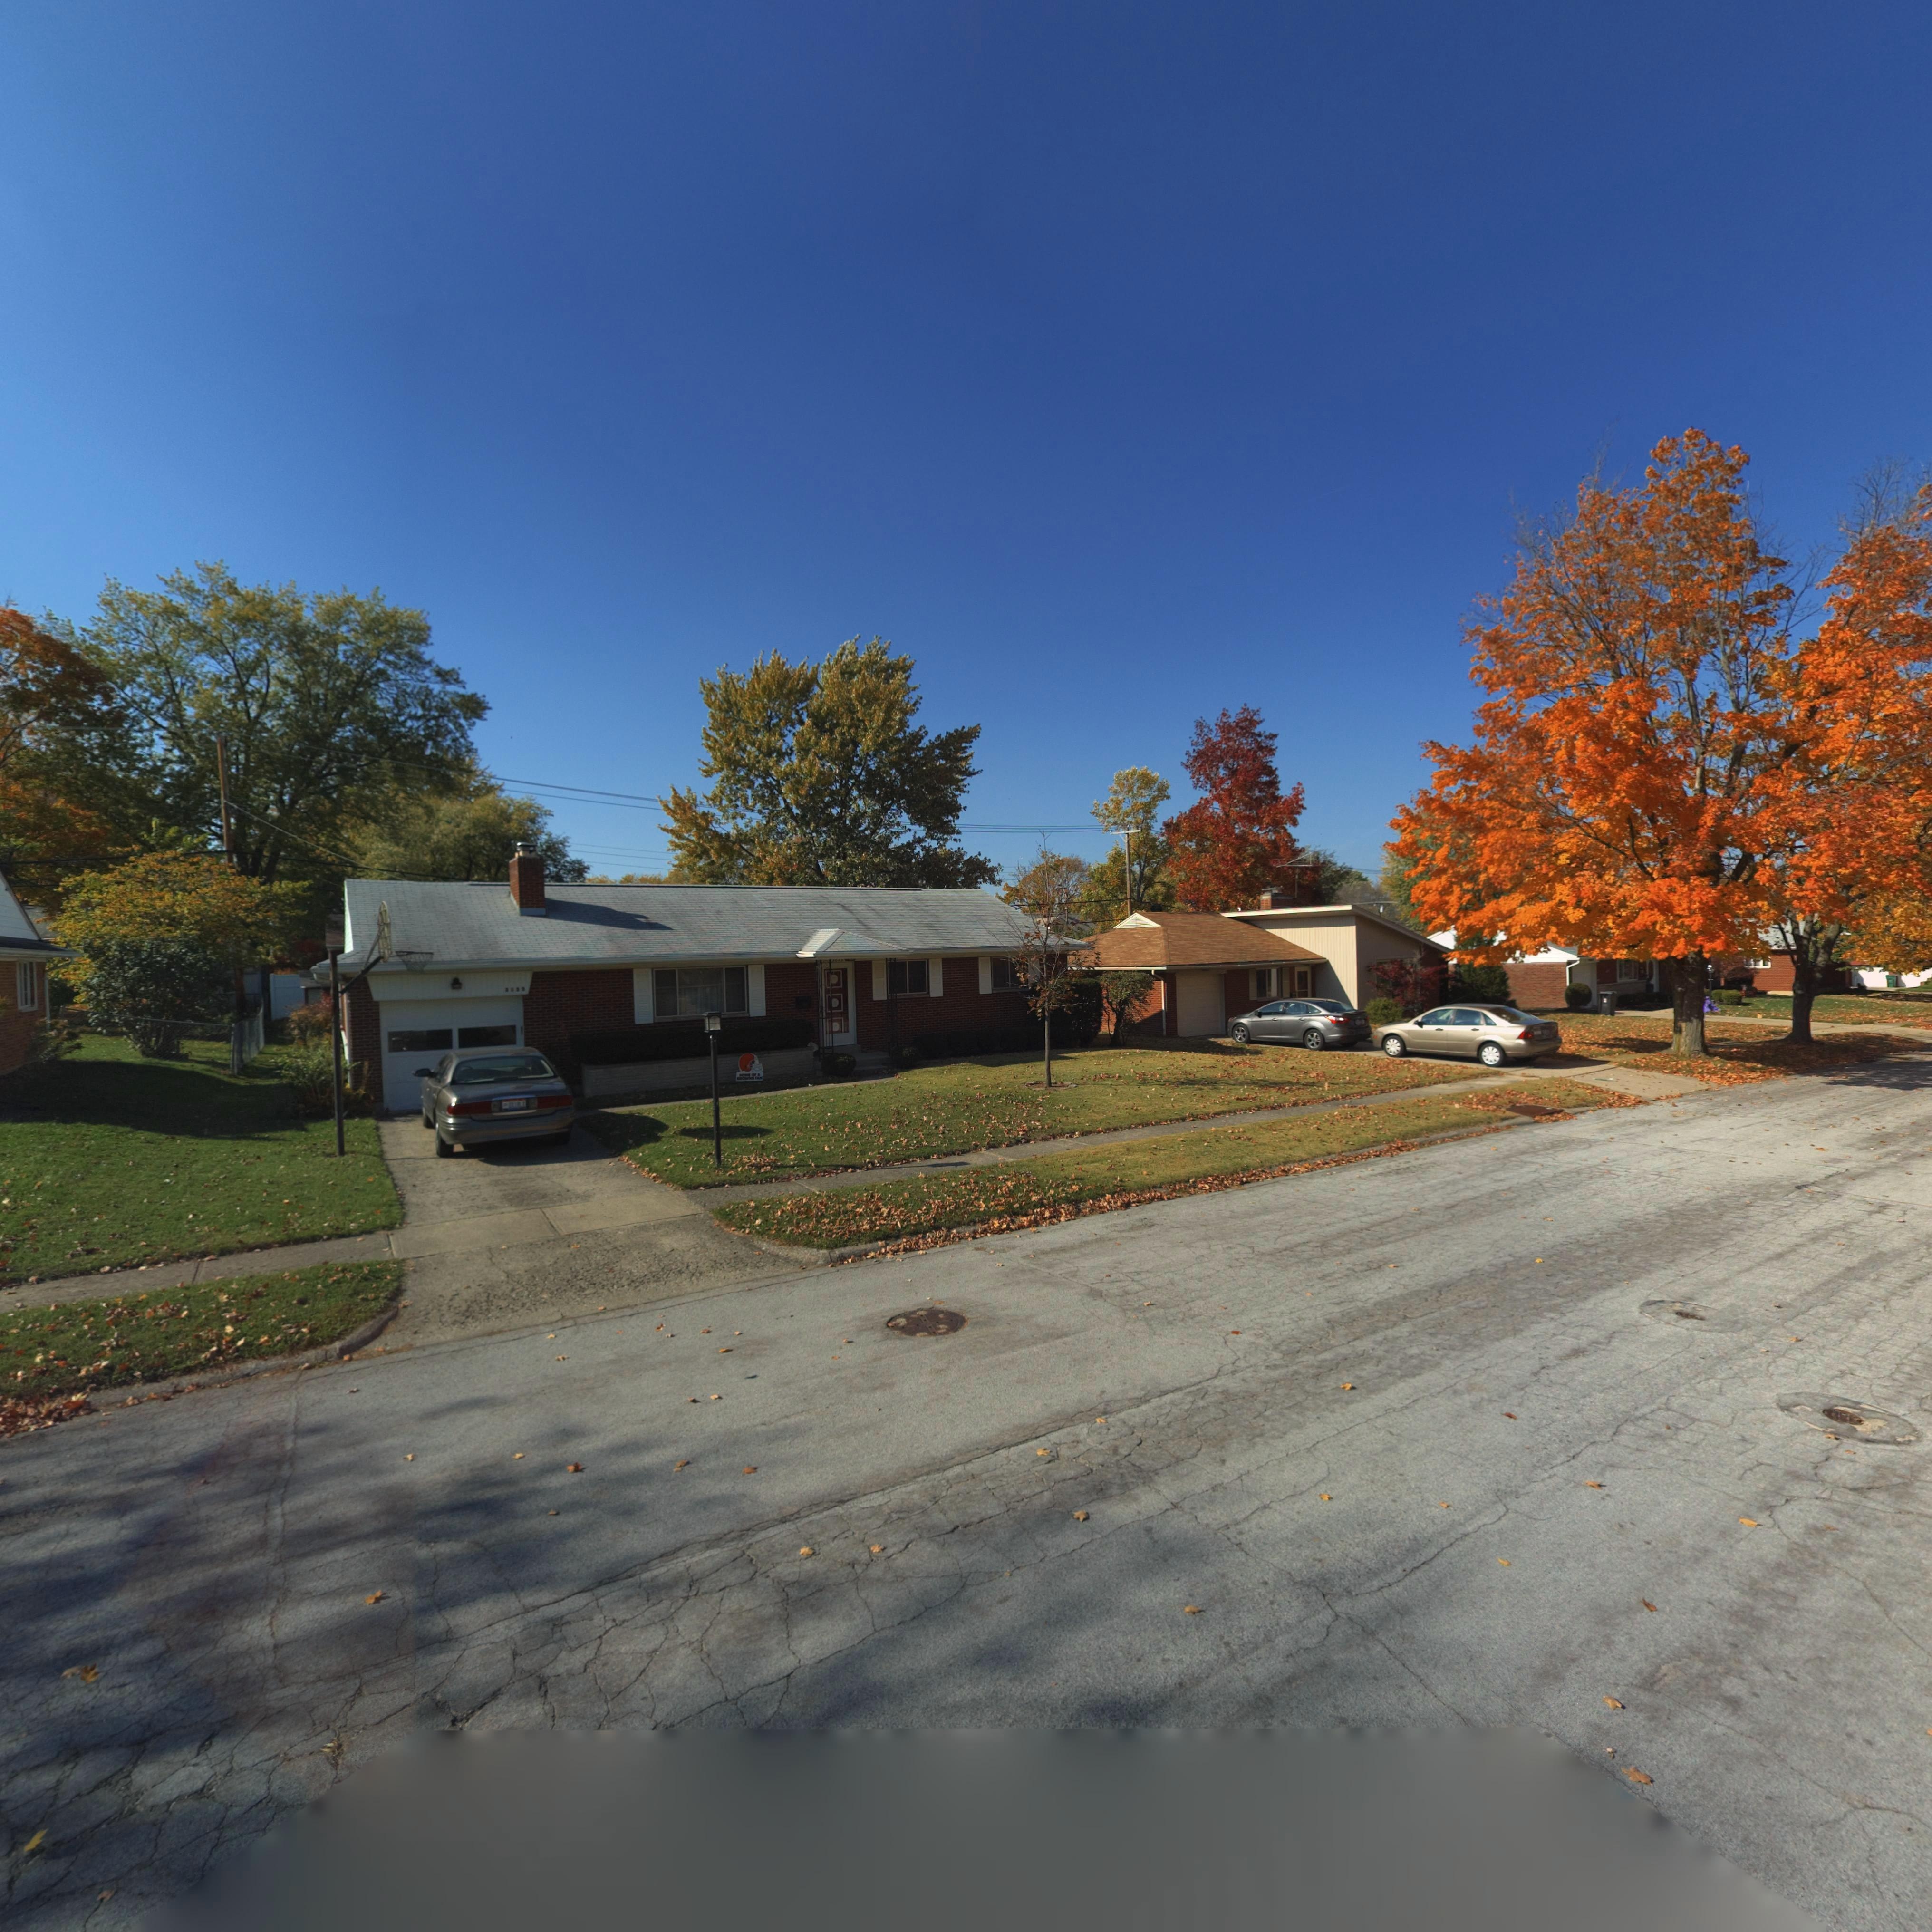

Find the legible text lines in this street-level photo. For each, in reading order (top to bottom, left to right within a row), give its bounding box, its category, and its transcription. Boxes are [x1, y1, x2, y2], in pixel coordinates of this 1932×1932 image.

[505, 986, 525, 993] StreetNumber: 3833